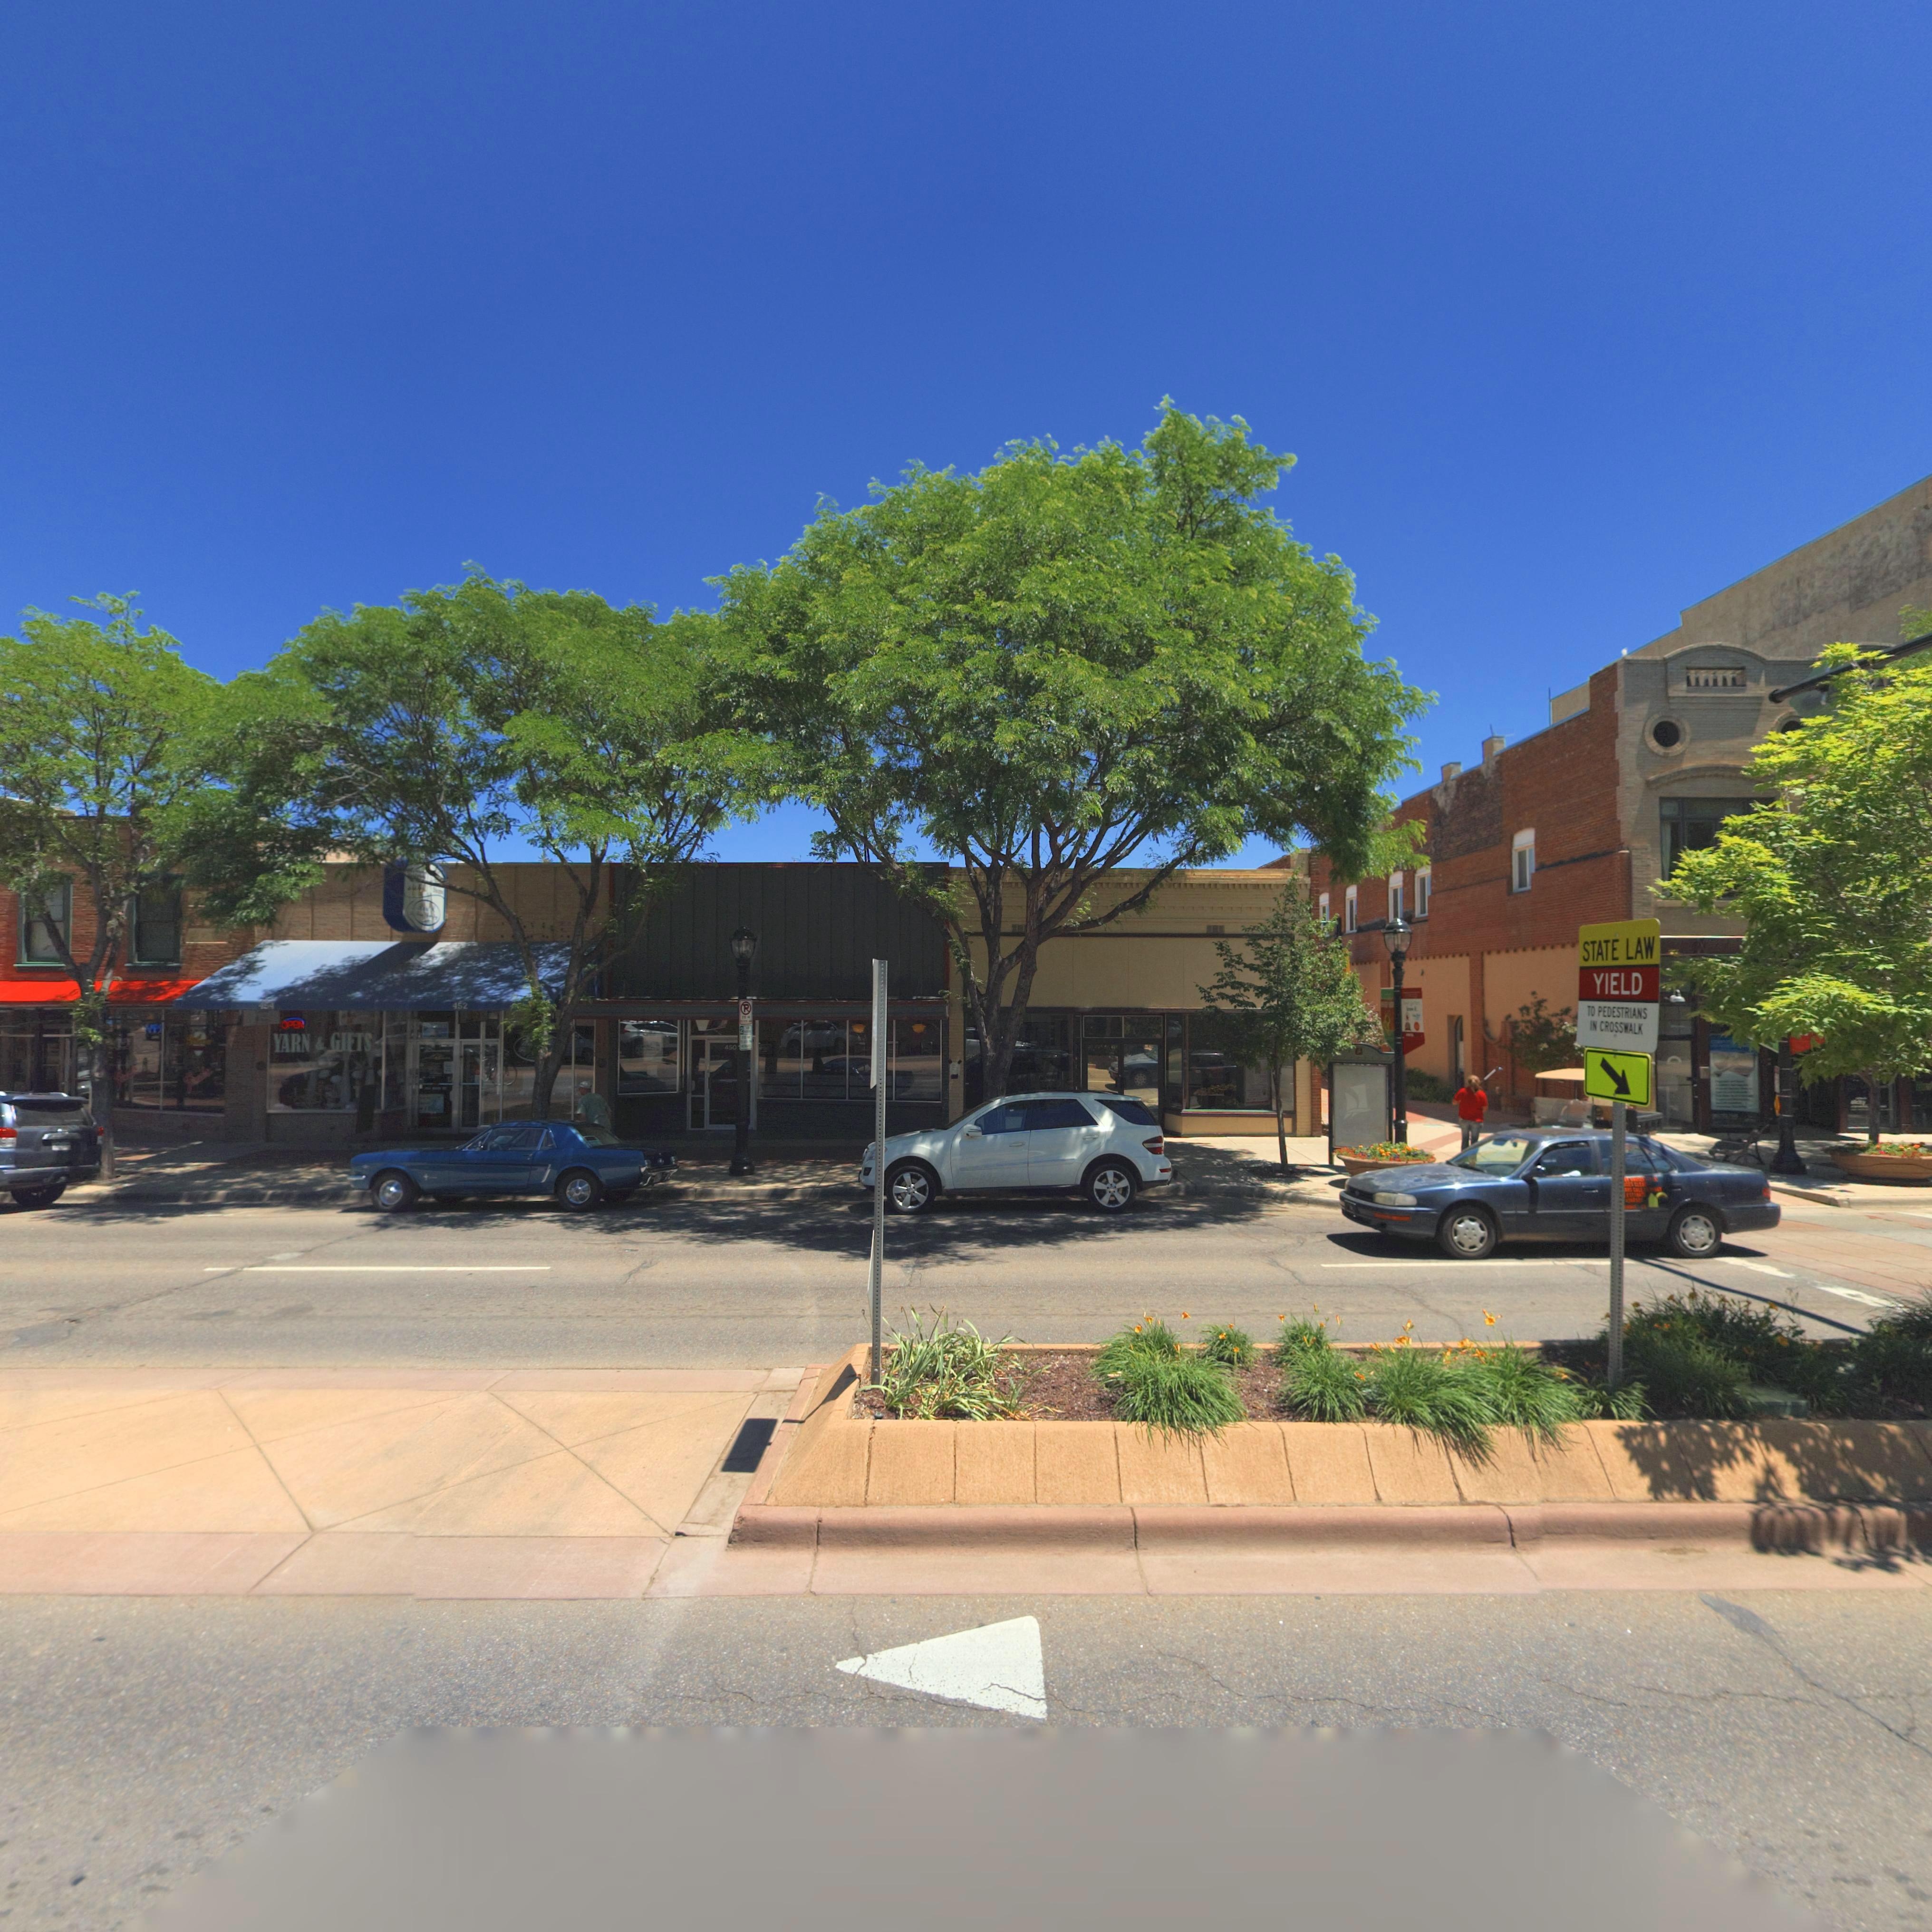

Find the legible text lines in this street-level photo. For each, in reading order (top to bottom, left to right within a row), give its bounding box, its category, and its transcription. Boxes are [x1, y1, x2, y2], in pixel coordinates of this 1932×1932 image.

[452, 1001, 468, 1009] StreetNumber: 452
[724, 1044, 737, 1050] StreetNumber: 450